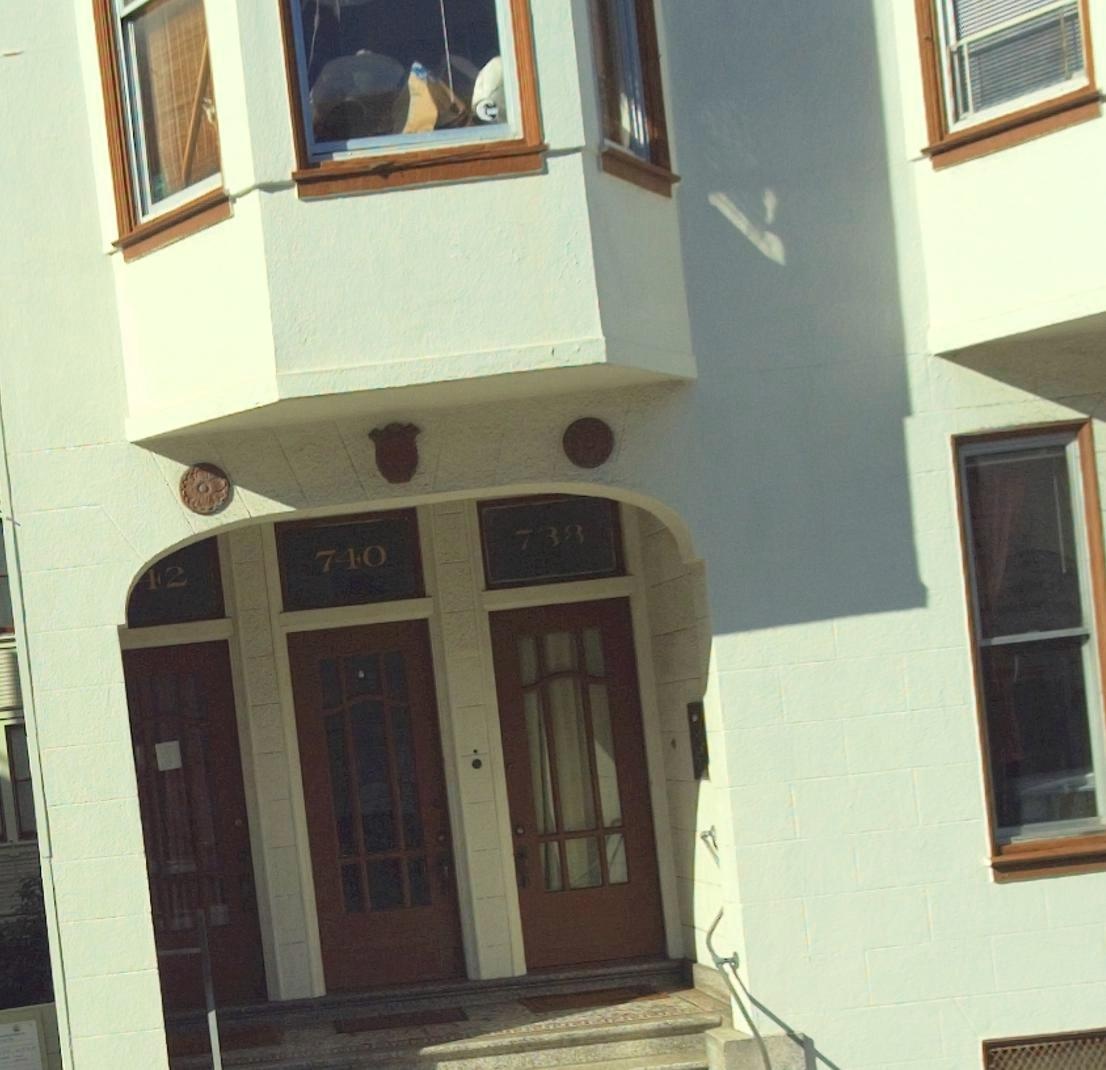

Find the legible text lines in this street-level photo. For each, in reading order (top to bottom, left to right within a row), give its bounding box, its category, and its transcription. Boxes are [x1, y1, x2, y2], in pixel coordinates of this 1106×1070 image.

[513, 520, 587, 554] StreetNumber: 738
[312, 543, 389, 574] StreetNumber: 740
[163, 563, 189, 589] StreetNumber: 2